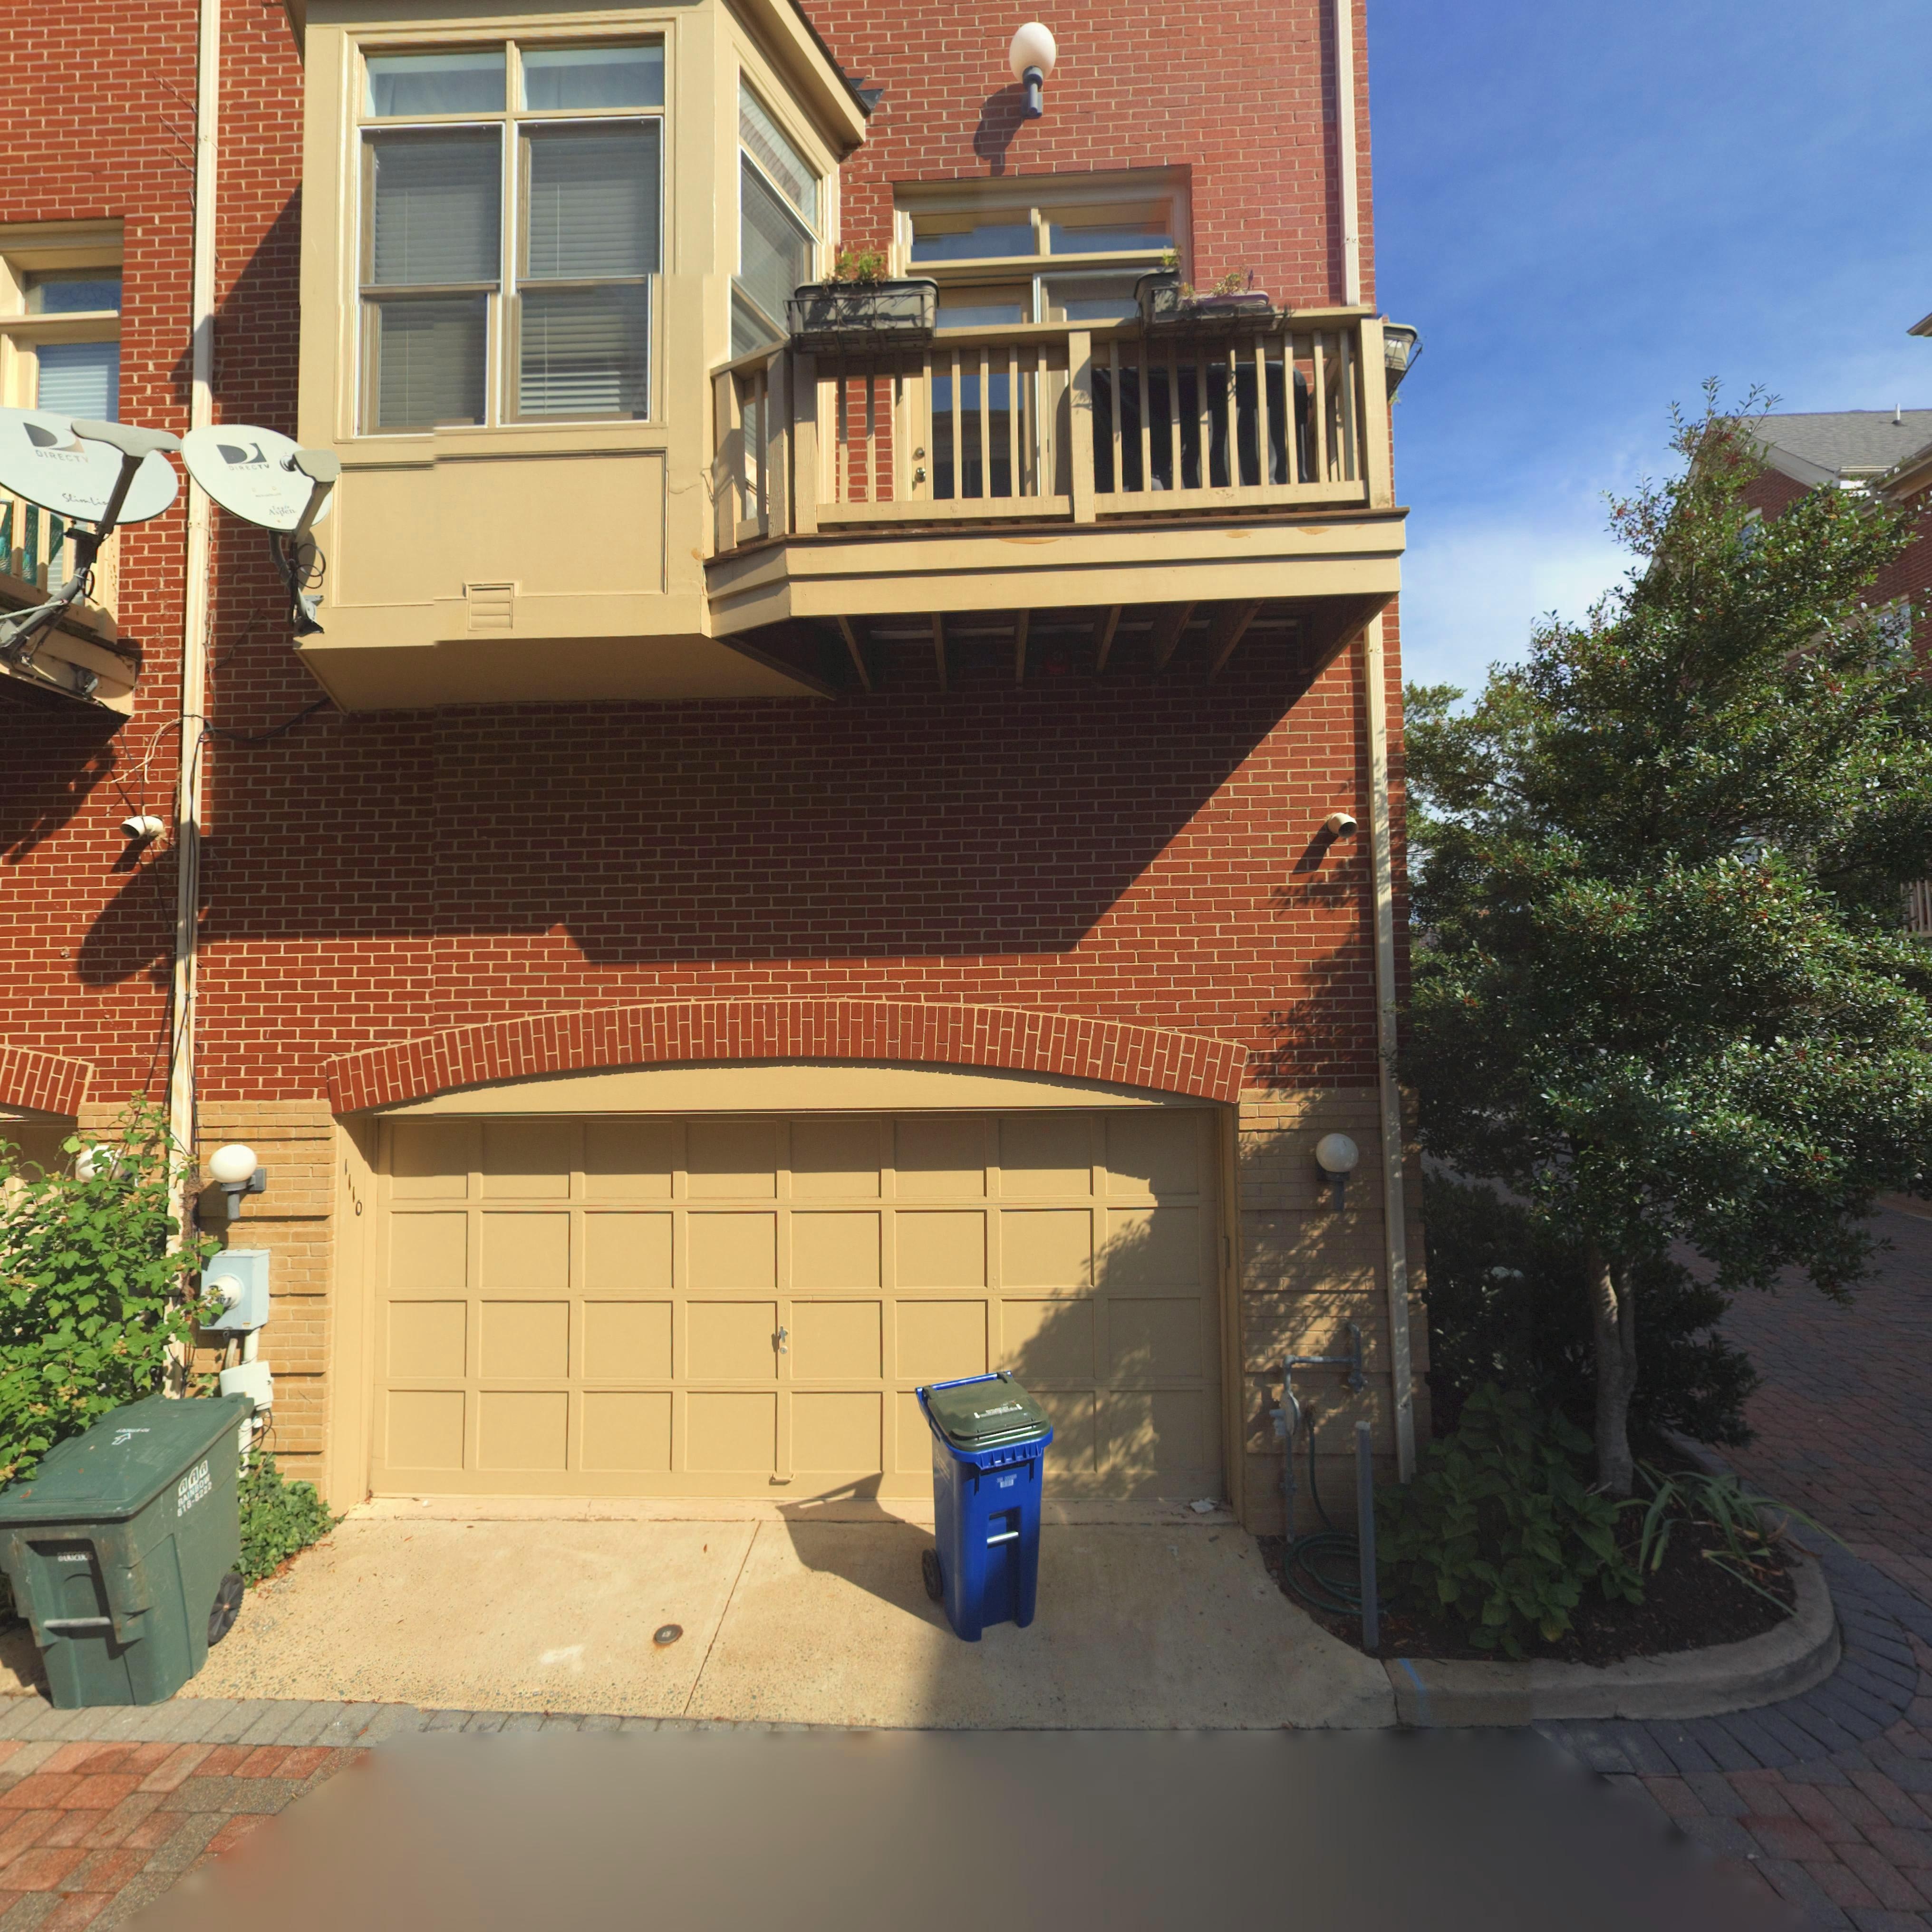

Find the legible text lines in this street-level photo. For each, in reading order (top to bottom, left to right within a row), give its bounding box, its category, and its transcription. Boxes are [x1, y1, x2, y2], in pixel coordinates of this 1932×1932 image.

[34, 449, 89, 464] None: DIRECTV
[228, 463, 270, 471] None: DIRECTV
[60, 492, 103, 506] None: SlimLi
[268, 508, 297, 517] None: Aspen
[344, 1158, 362, 1217] None: 1110
[179, 1462, 207, 1493] None: AAA
[1004, 1473, 1017, 1481] None: 00000*
[177, 1472, 210, 1509] None: RAINBOW
[176, 1479, 213, 1519] None: 818-8222
[56, 1551, 95, 1562] None: 8002**6